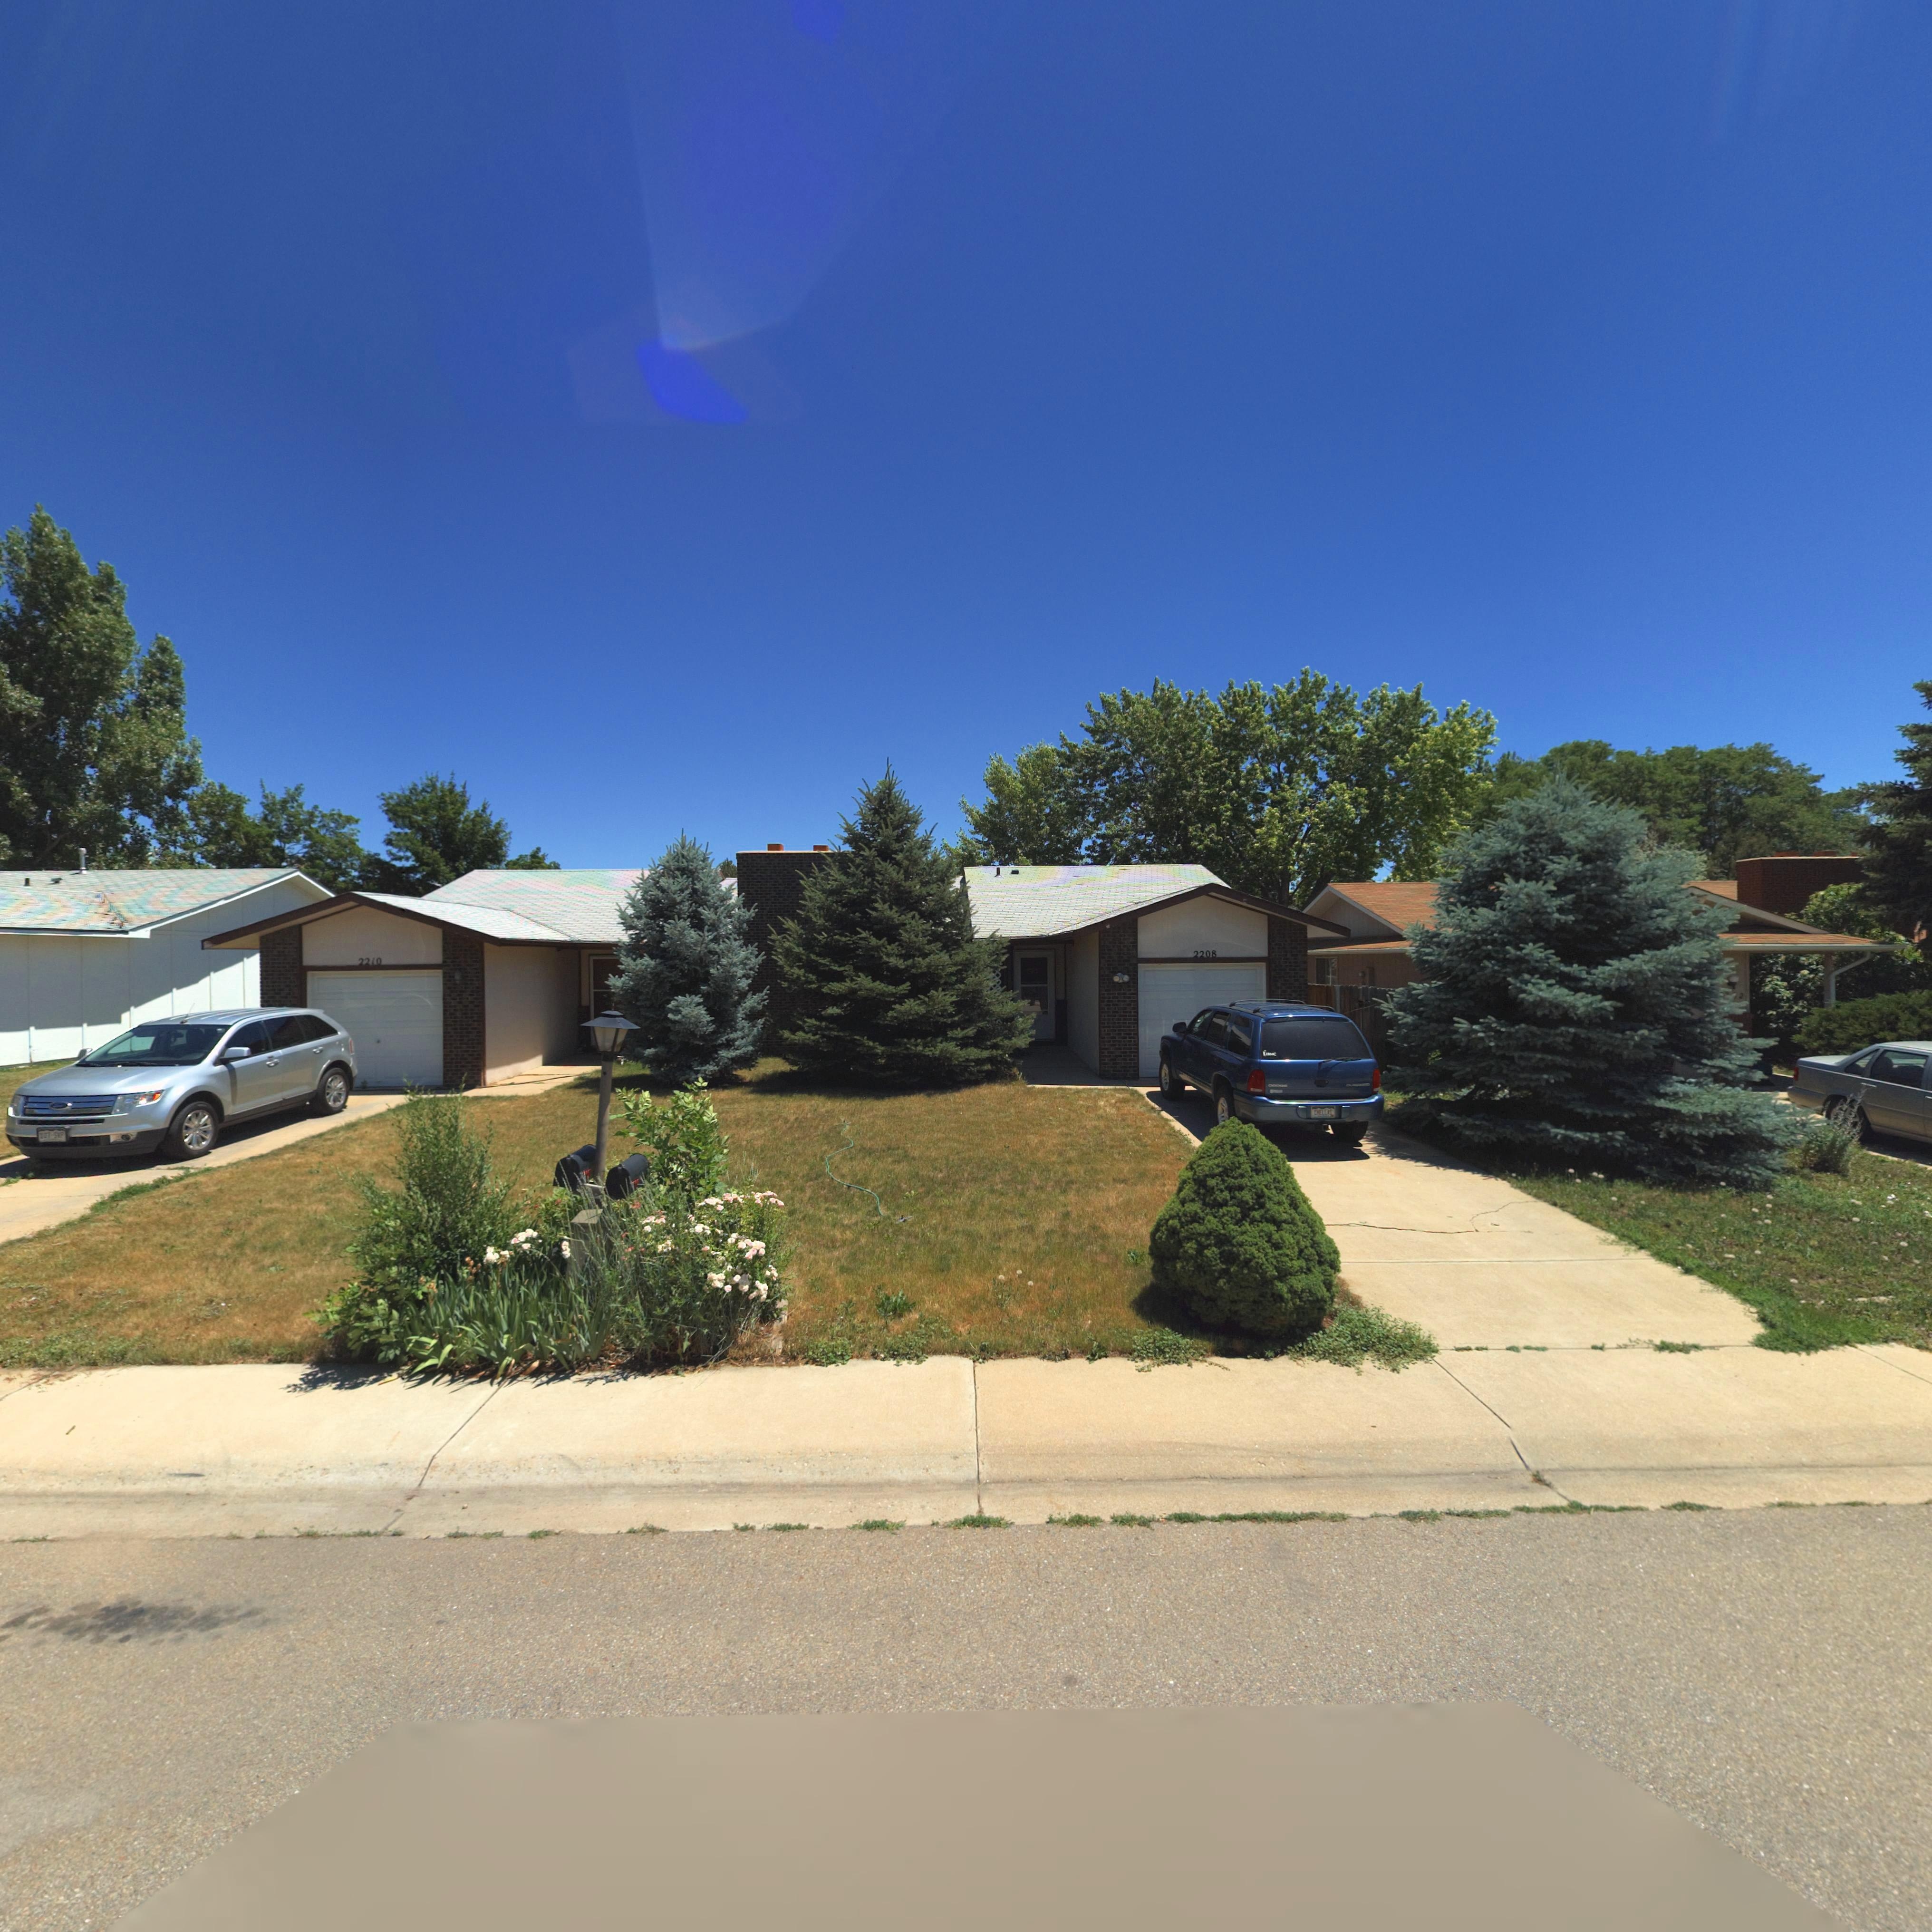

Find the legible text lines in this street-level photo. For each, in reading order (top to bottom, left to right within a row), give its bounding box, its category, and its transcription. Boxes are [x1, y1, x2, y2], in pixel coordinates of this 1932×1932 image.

[1192, 949, 1217, 958] StreetNumber: 2208
[357, 956, 382, 965] StreetNumber: 2210
[1730, 991, 1744, 999] StreetNumber: **2